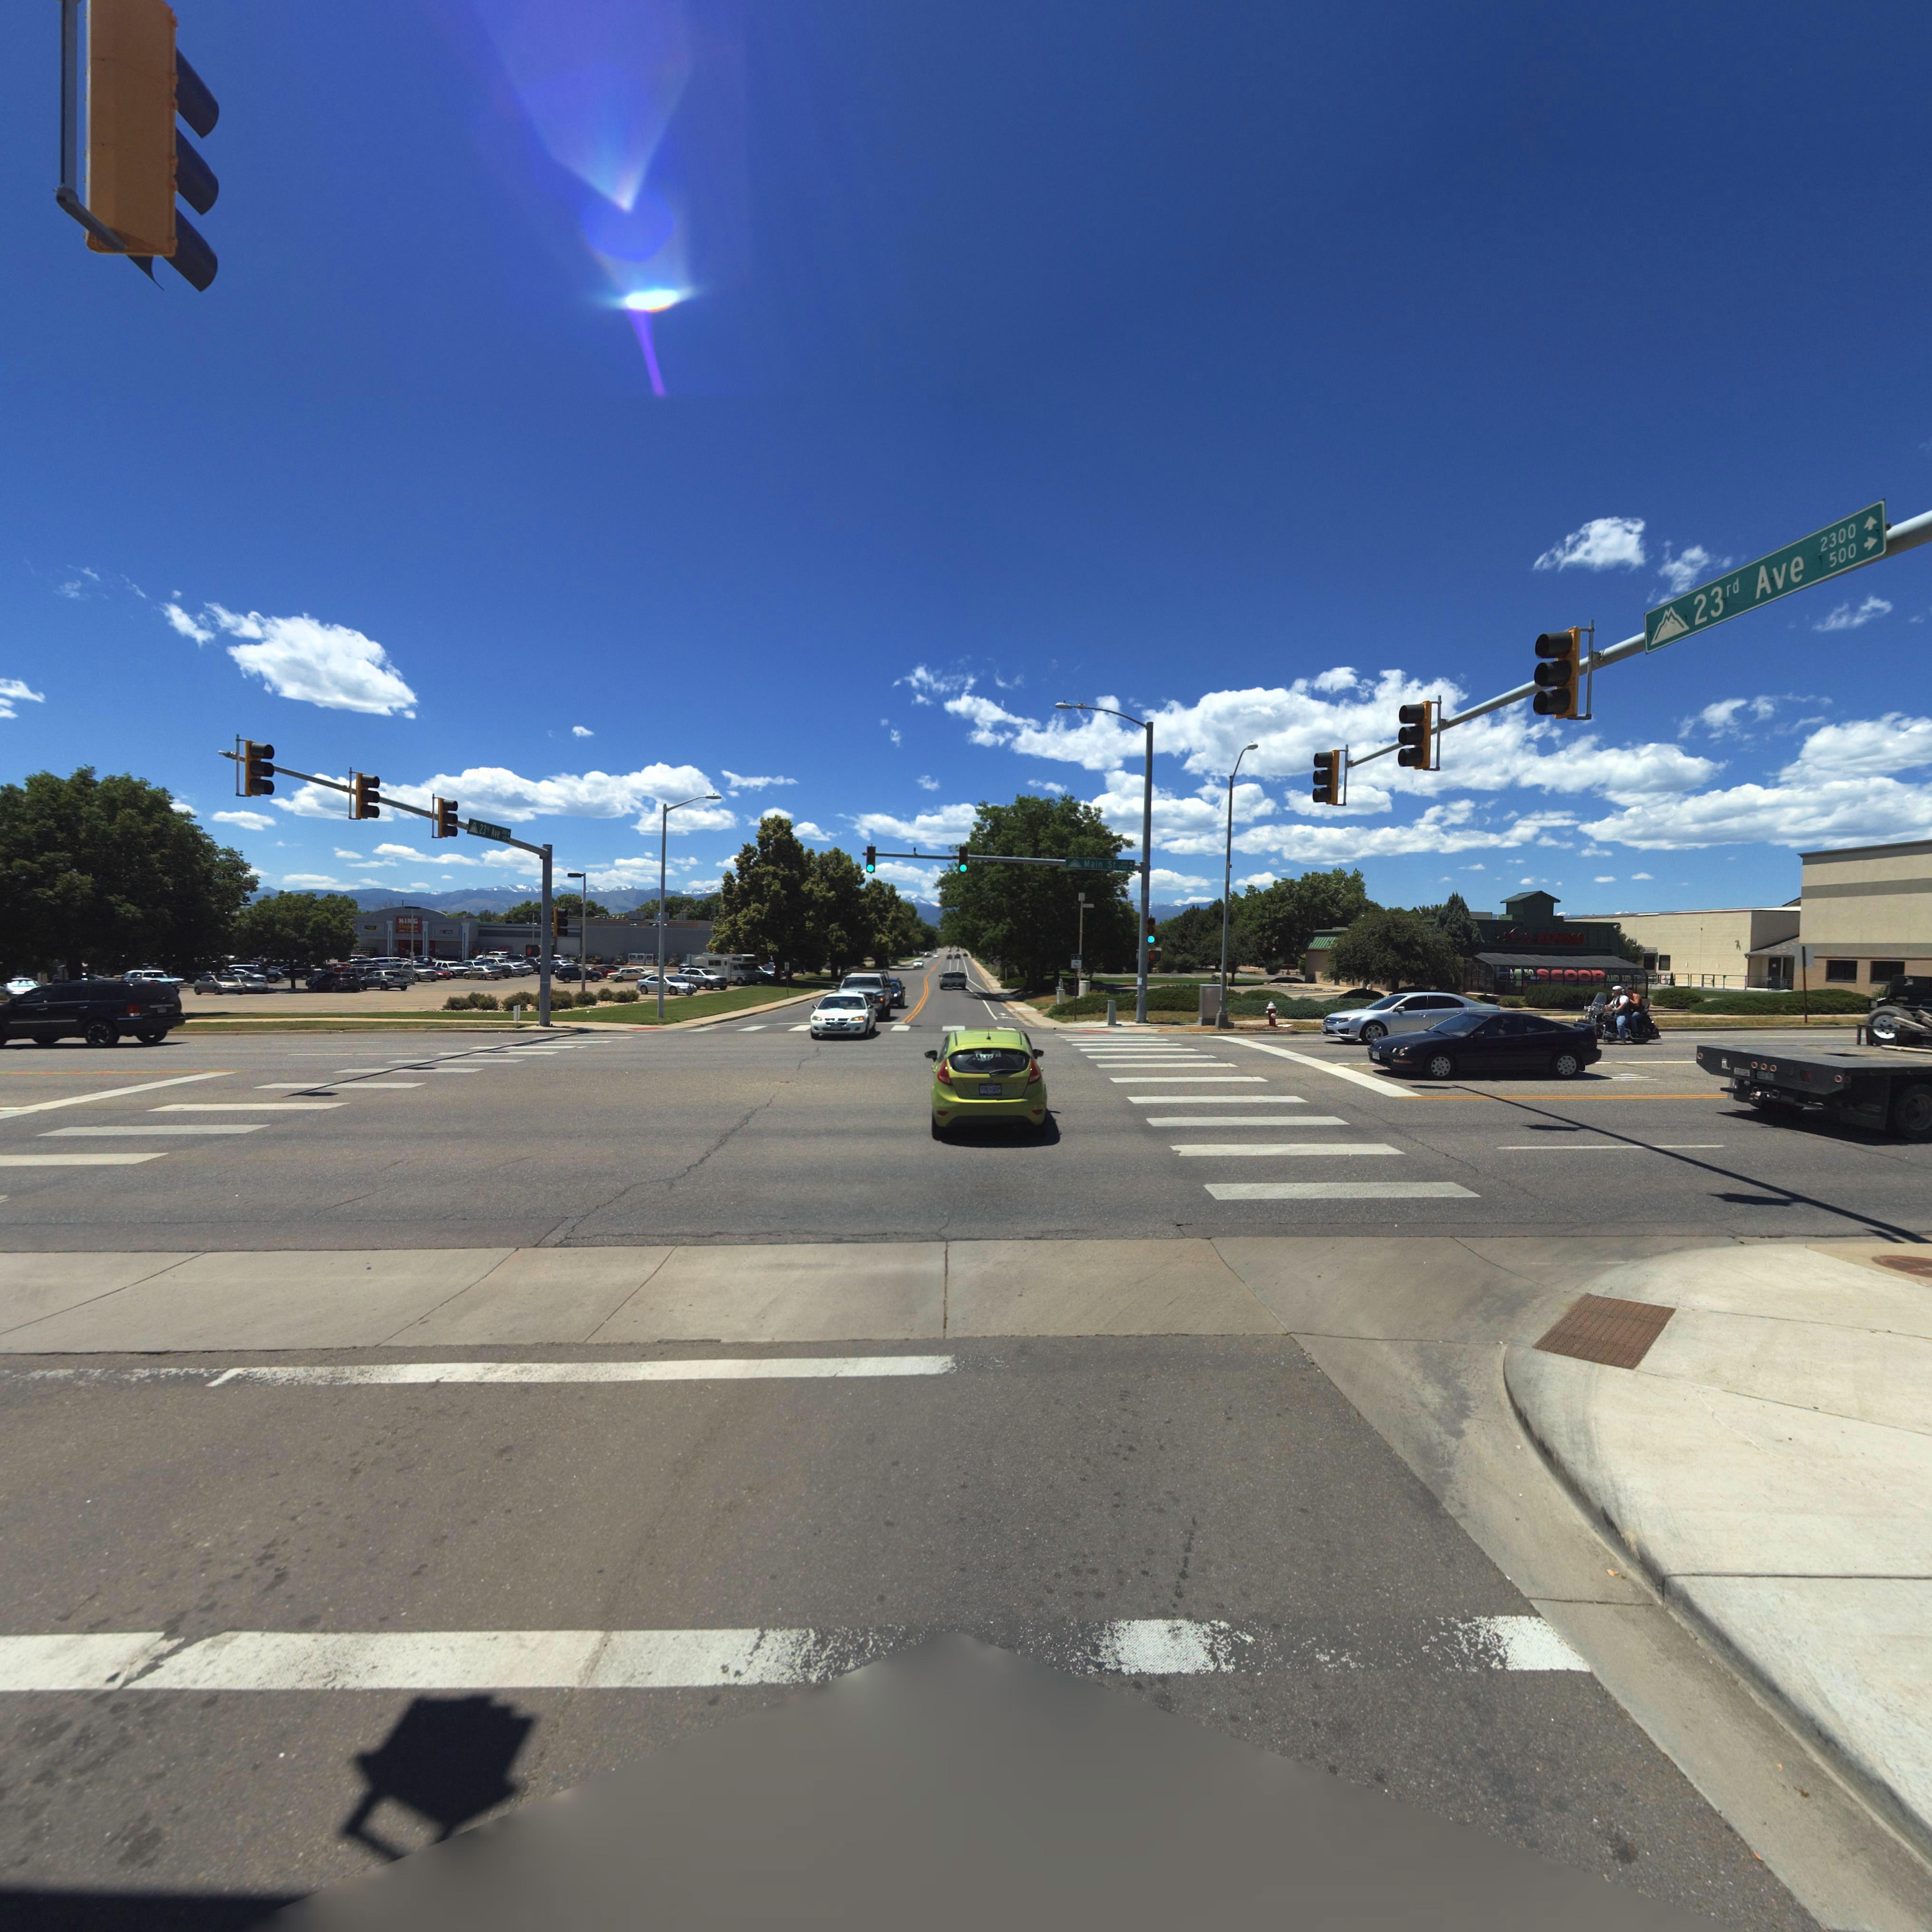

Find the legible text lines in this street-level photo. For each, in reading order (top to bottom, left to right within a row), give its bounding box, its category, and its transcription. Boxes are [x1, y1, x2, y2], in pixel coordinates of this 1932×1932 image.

[1819, 522, 1856, 553] StreetNumberRange: 2300
[1828, 535, 1879, 568] StreetNumberRange: 500->
[1692, 555, 1805, 627] StreetName: 23rd Ave
[478, 823, 500, 840] StreetName: 23** Ave
[1083, 859, 1116, 869] StreetName: Main St
[1119, 865, 1133, 869] StreetNumberRange: 2*00->
[398, 917, 417, 924] BusinessName: KI**
[398, 923, 418, 929] BusinessName: *oo****
[1495, 926, 1584, 945] BusinessName: A** B*****S